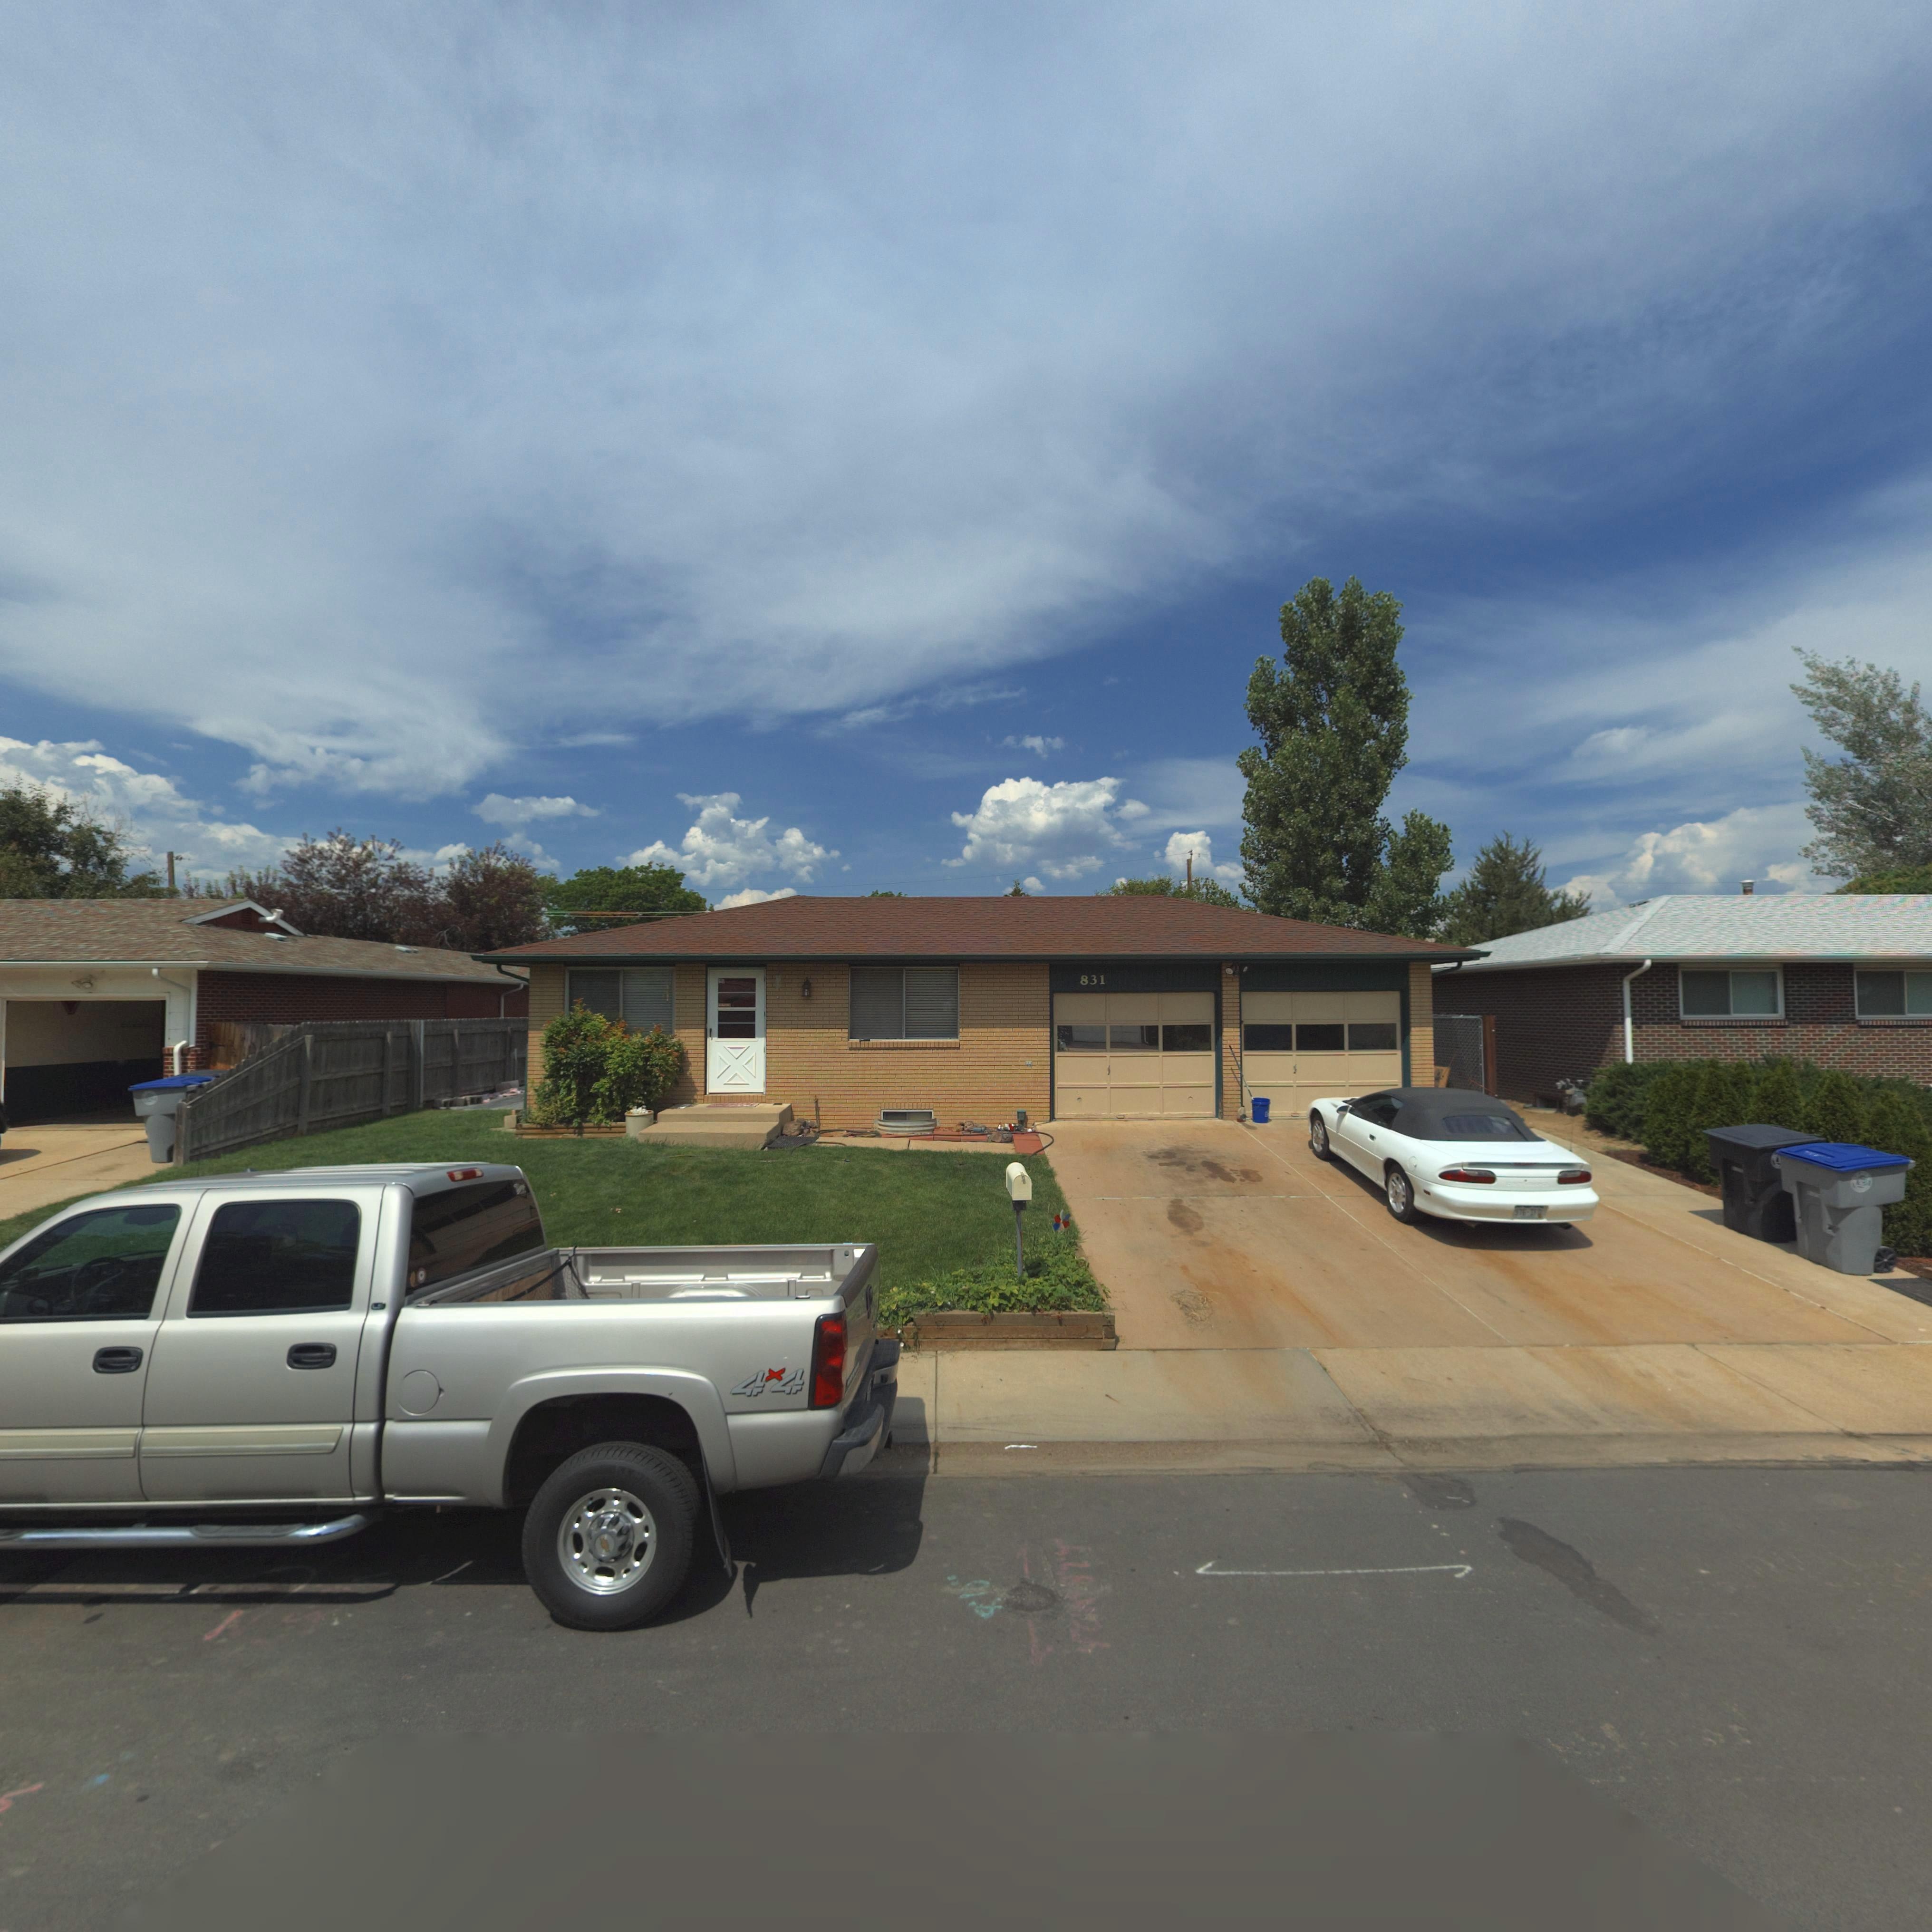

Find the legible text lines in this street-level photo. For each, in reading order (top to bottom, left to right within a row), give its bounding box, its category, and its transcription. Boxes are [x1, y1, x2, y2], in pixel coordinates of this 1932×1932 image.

[1080, 974, 1105, 985] StreetNumber: 831